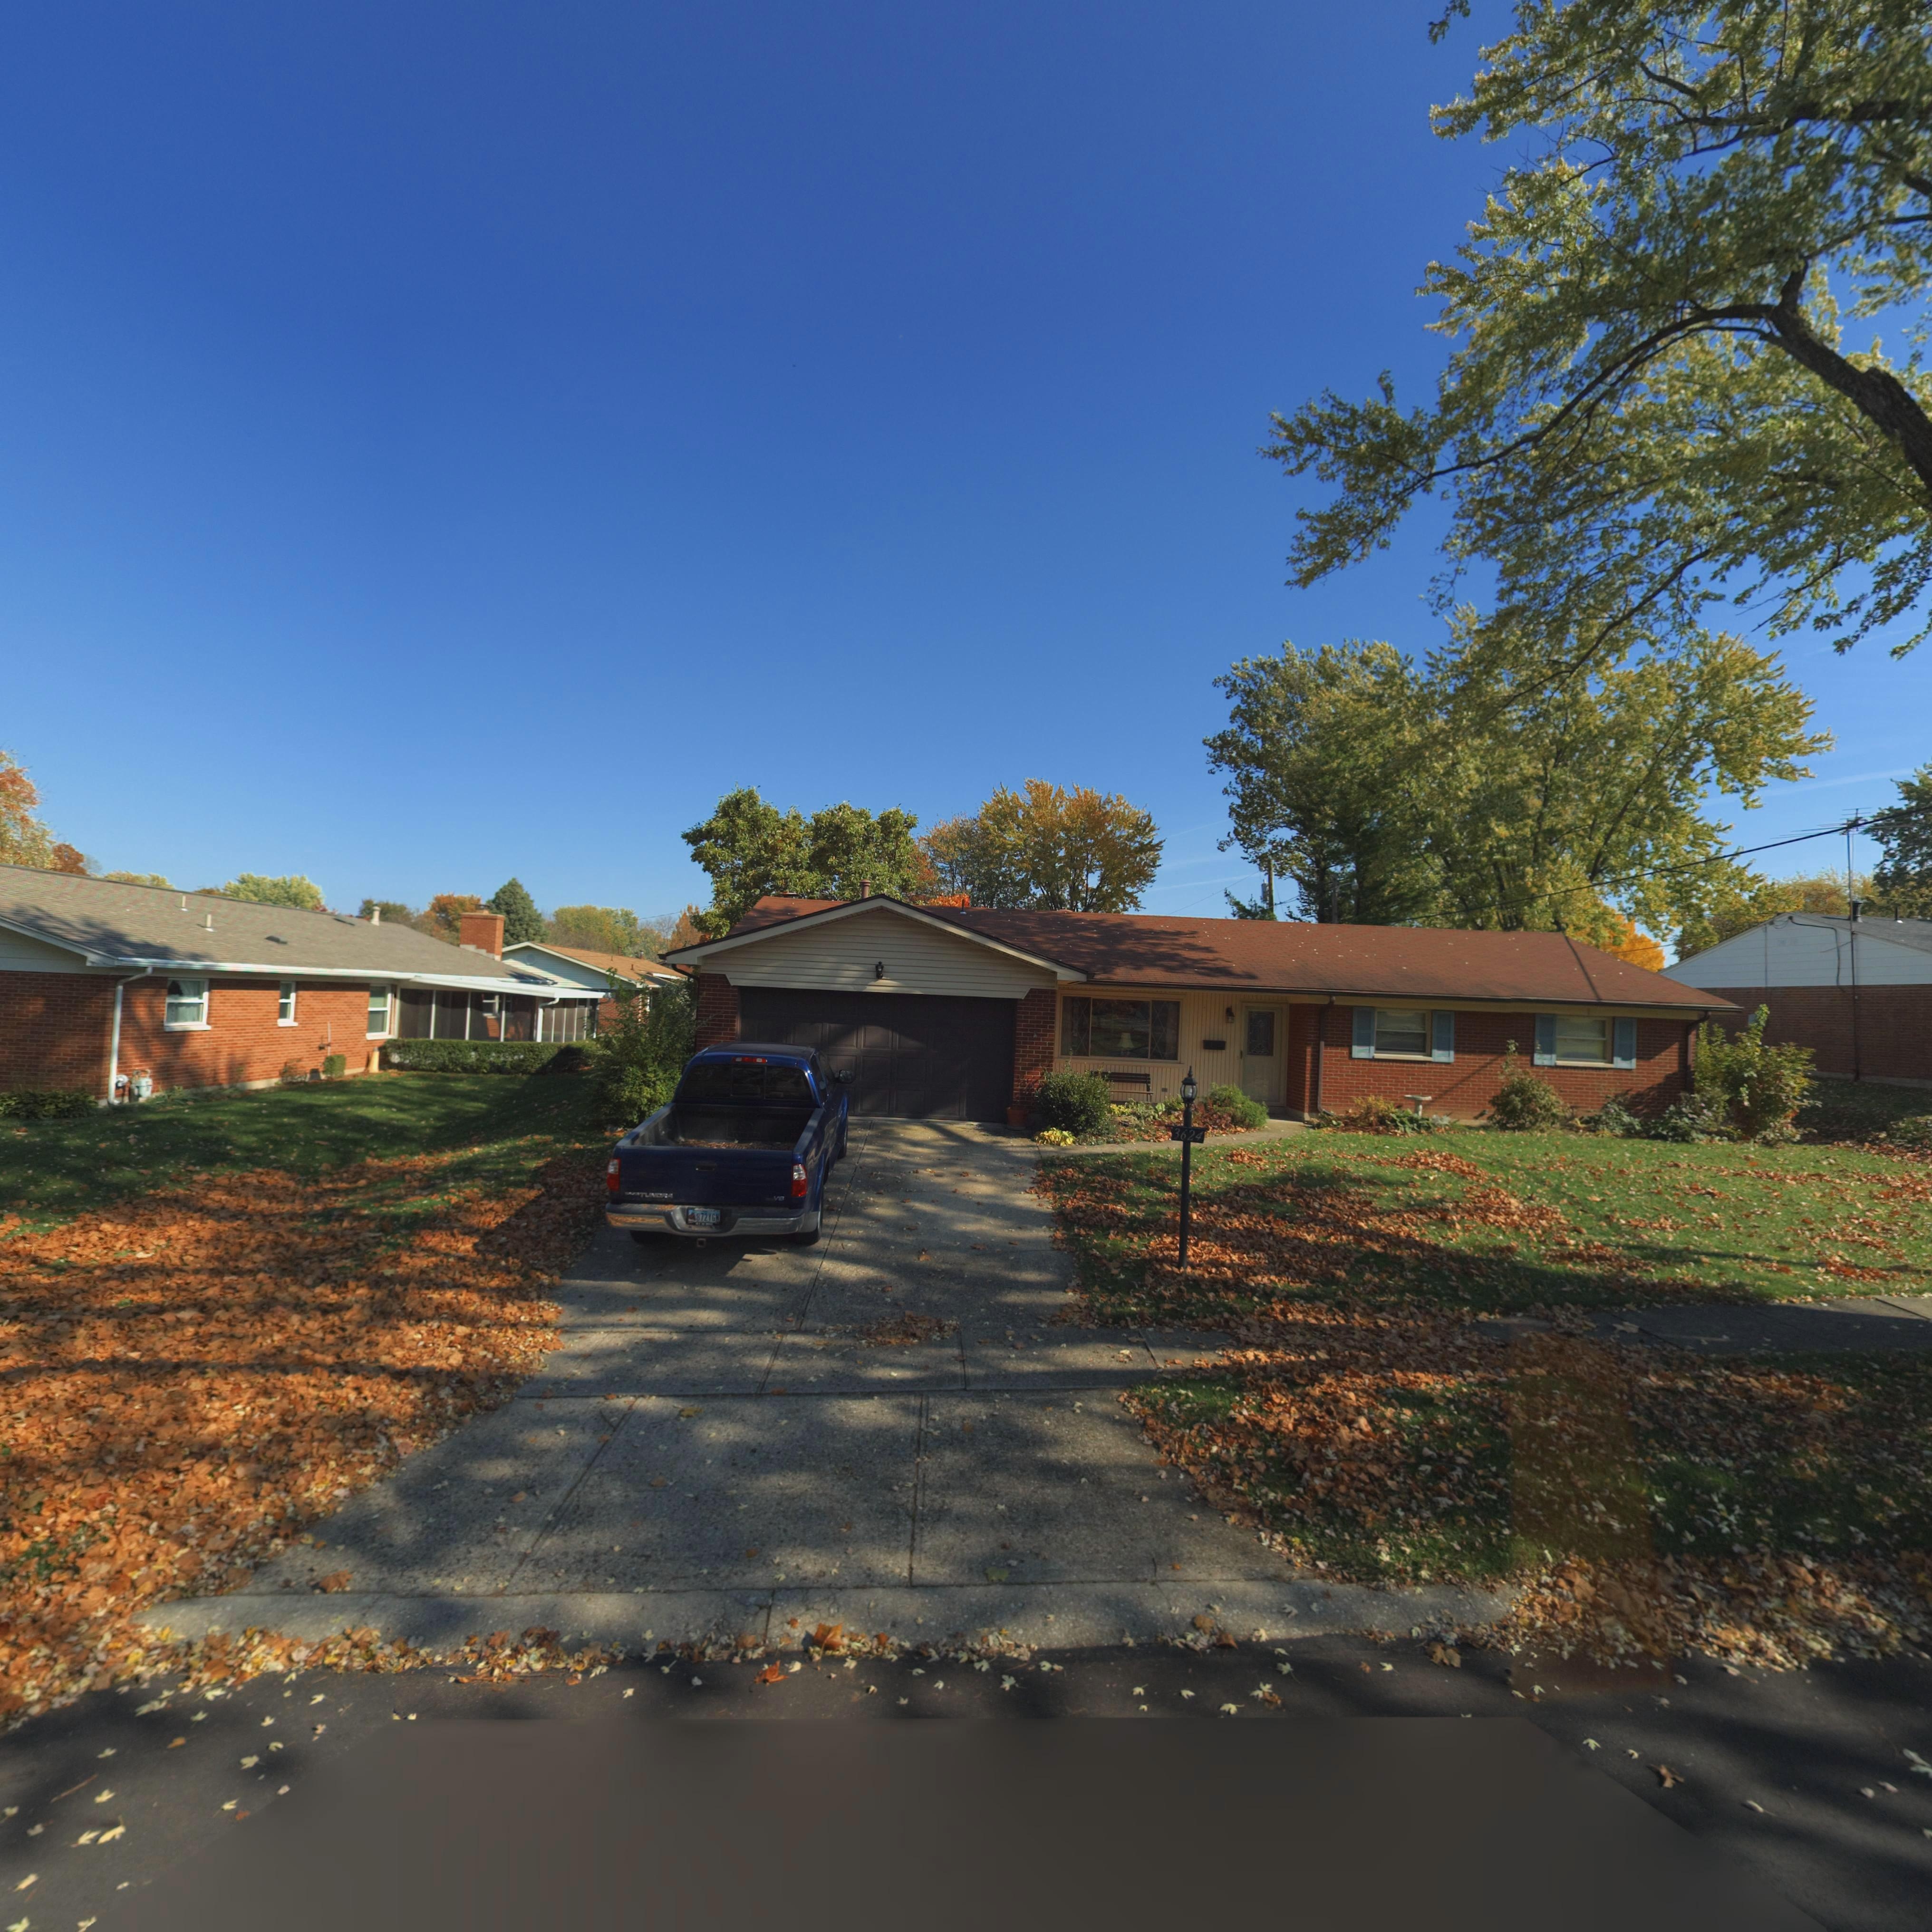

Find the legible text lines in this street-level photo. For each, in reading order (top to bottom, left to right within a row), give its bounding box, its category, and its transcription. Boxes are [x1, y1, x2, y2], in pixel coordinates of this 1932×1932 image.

[1171, 1126, 1205, 1143] StreetNumber: 3624
[638, 1191, 674, 1199] None: TUNDRA
[773, 1195, 787, 1202] None: V8
[696, 1211, 720, 1223] None: 872YG*